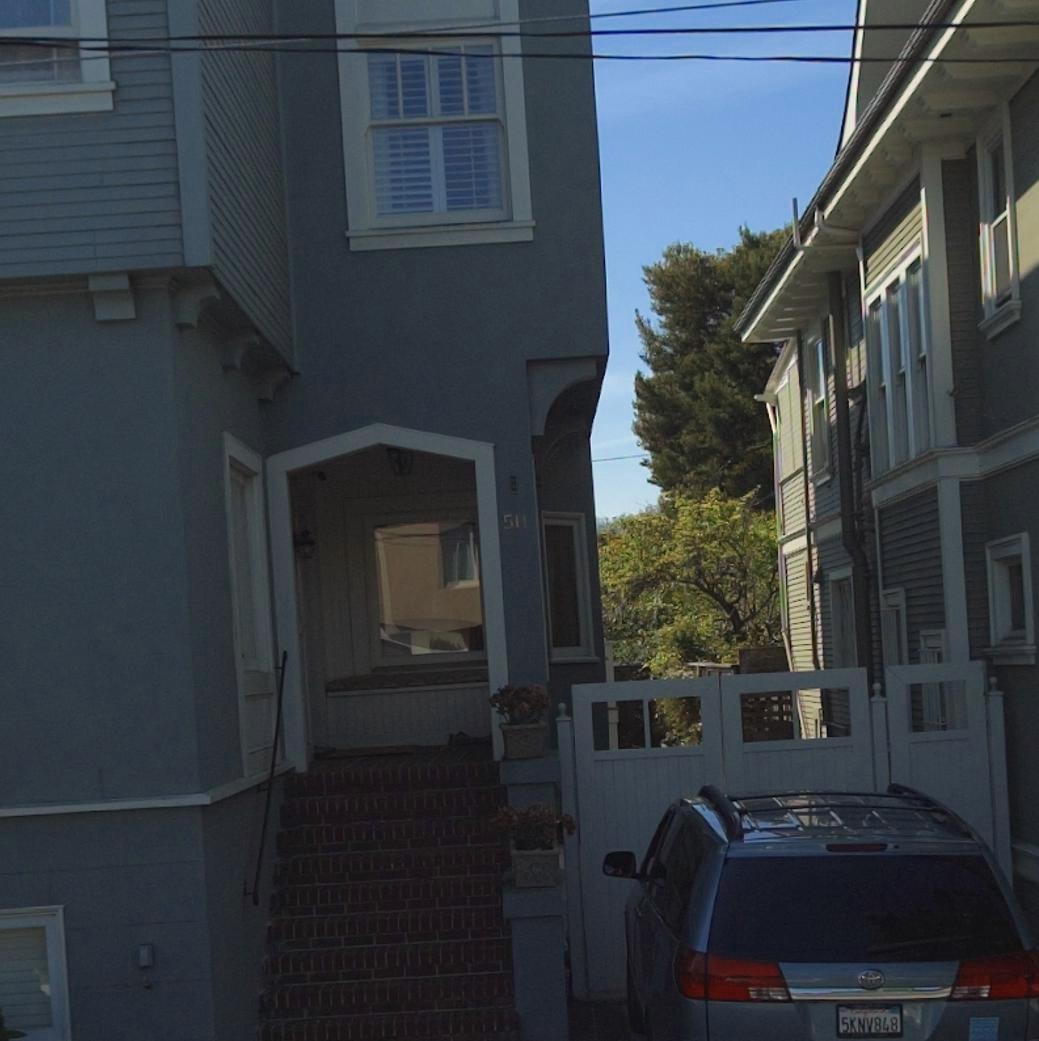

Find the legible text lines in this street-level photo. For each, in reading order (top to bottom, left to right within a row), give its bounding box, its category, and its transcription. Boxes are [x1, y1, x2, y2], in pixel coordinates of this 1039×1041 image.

[501, 512, 528, 532] StreetNumber: 511
[839, 1015, 898, 1034] None: 5KNV848